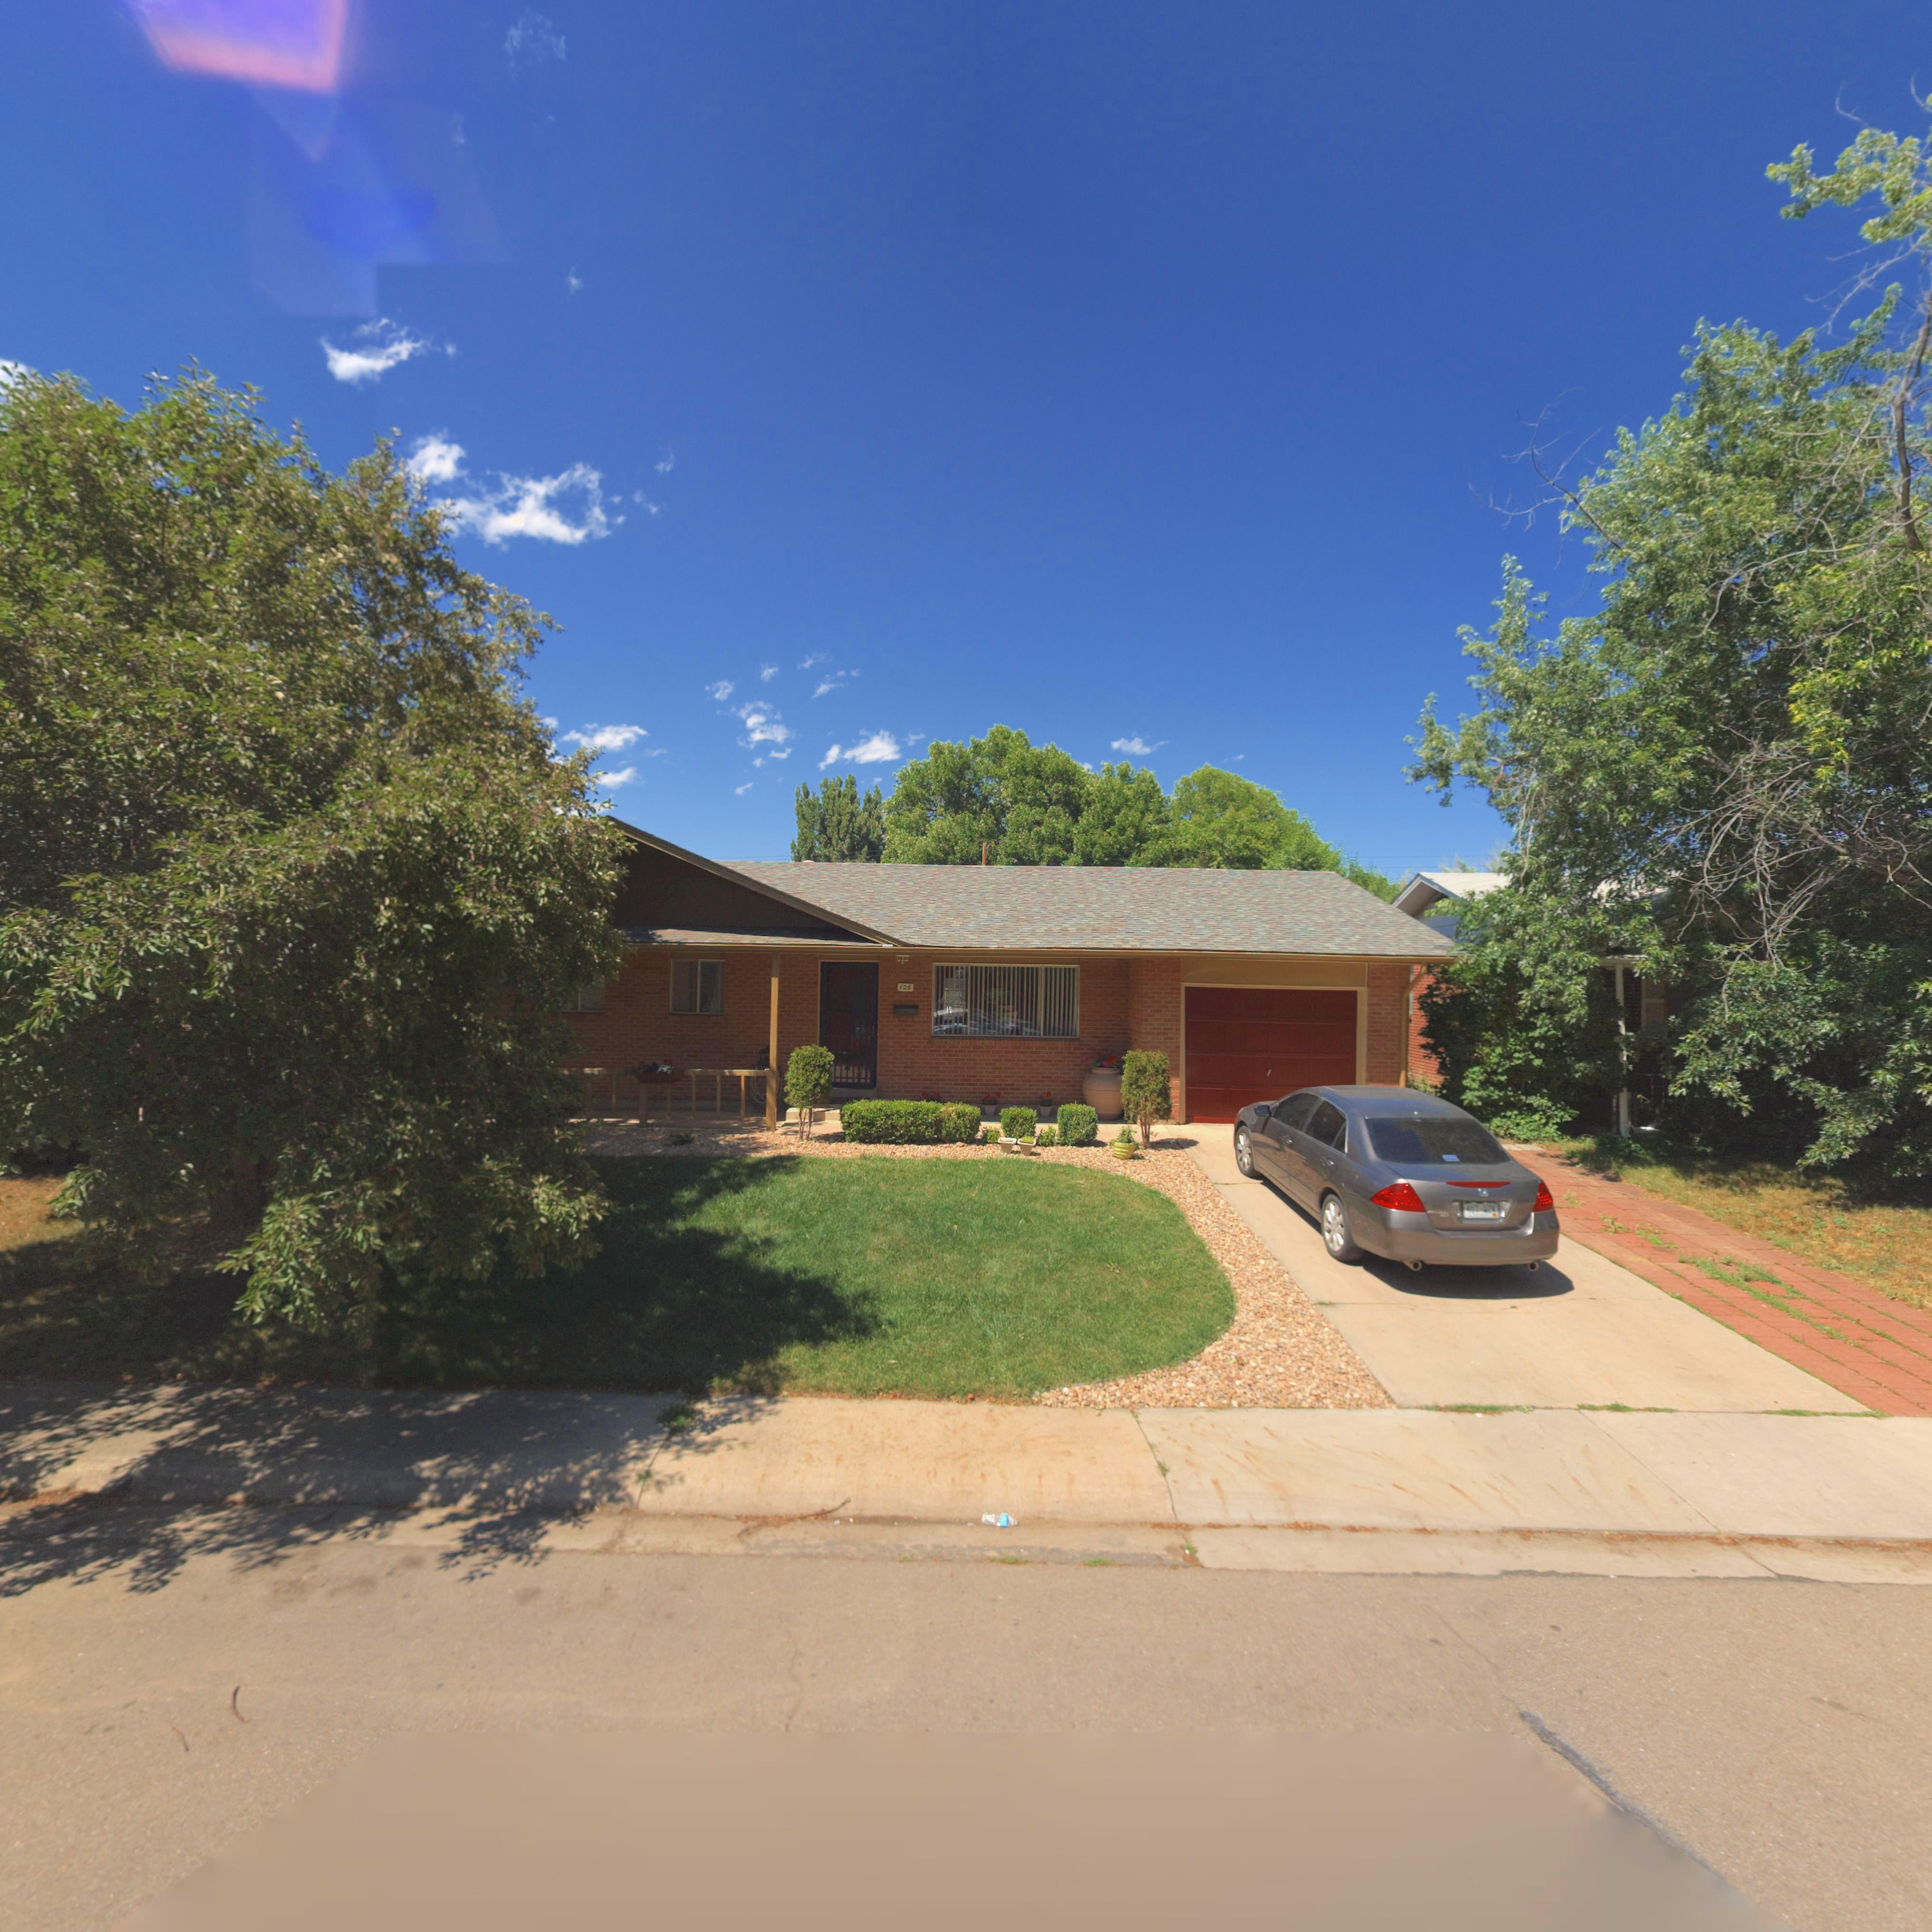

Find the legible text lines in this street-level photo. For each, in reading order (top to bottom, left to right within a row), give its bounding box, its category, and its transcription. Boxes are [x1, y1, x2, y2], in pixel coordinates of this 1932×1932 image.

[898, 984, 911, 990] StreetNumber: 106